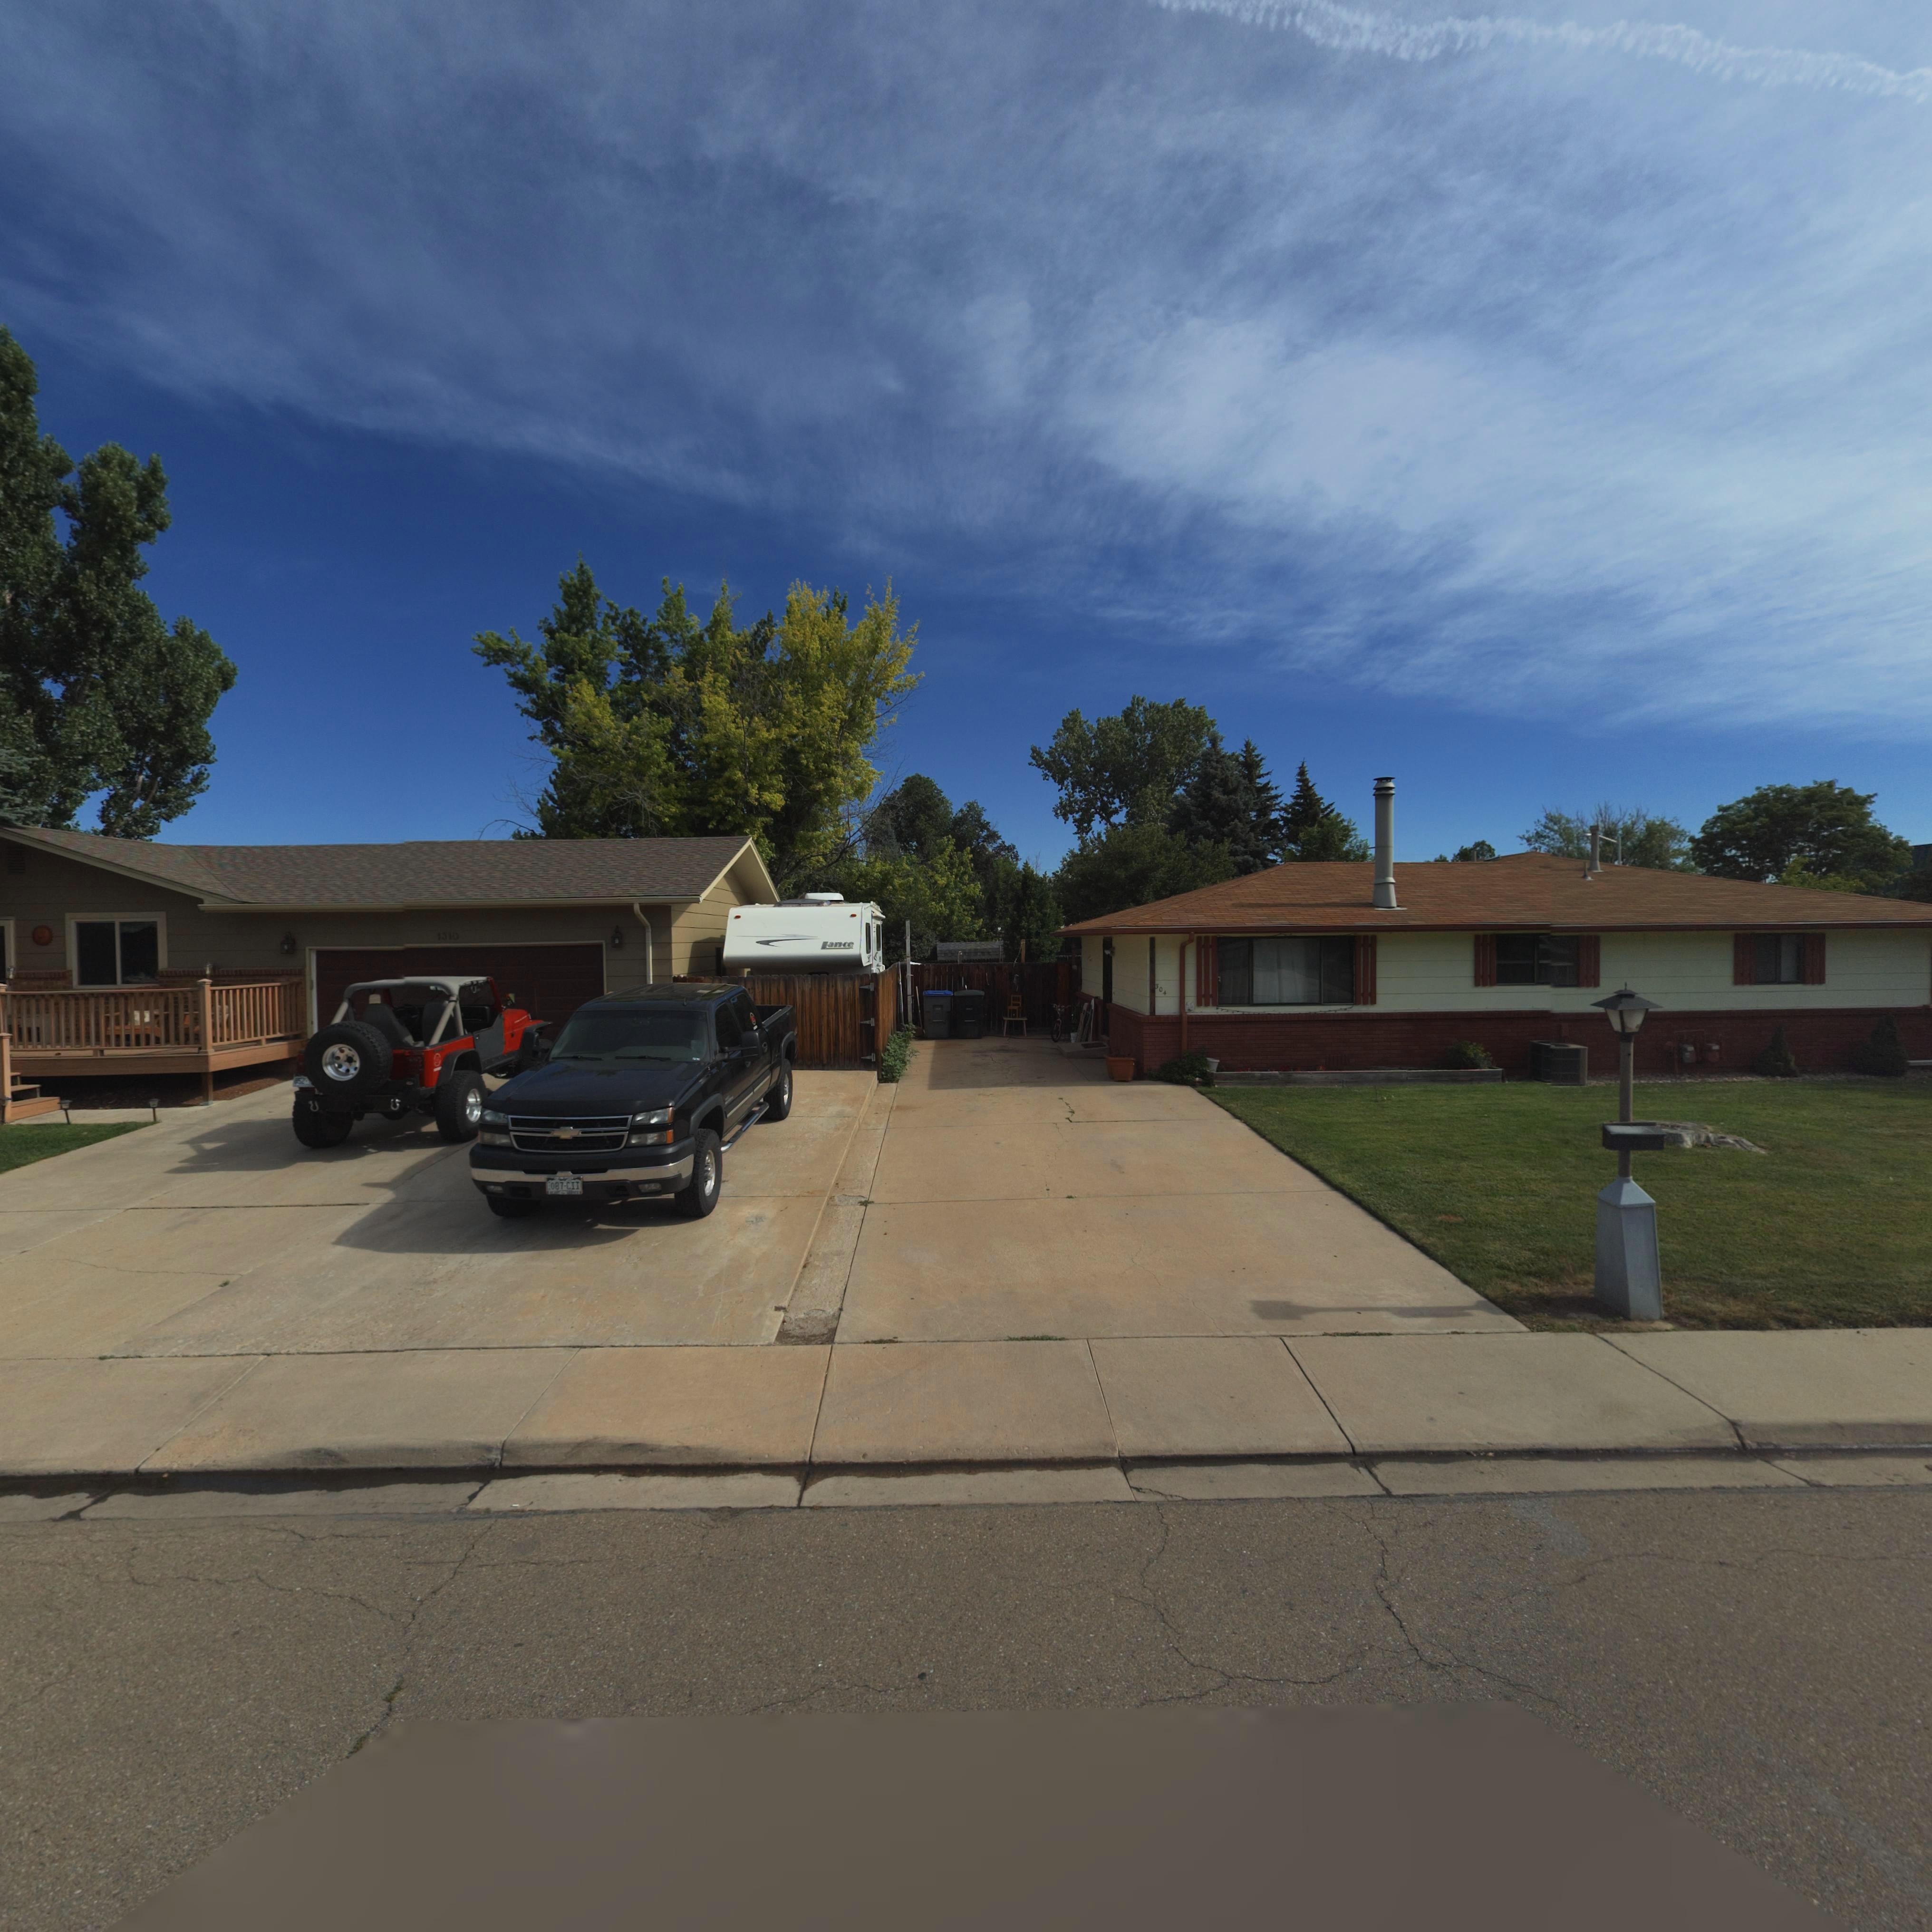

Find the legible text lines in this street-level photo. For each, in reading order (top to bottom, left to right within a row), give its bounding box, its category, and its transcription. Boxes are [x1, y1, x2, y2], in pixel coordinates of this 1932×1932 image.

[437, 931, 460, 941] StreetNumber: 1310
[1155, 983, 1167, 996] StreetNumber: 304